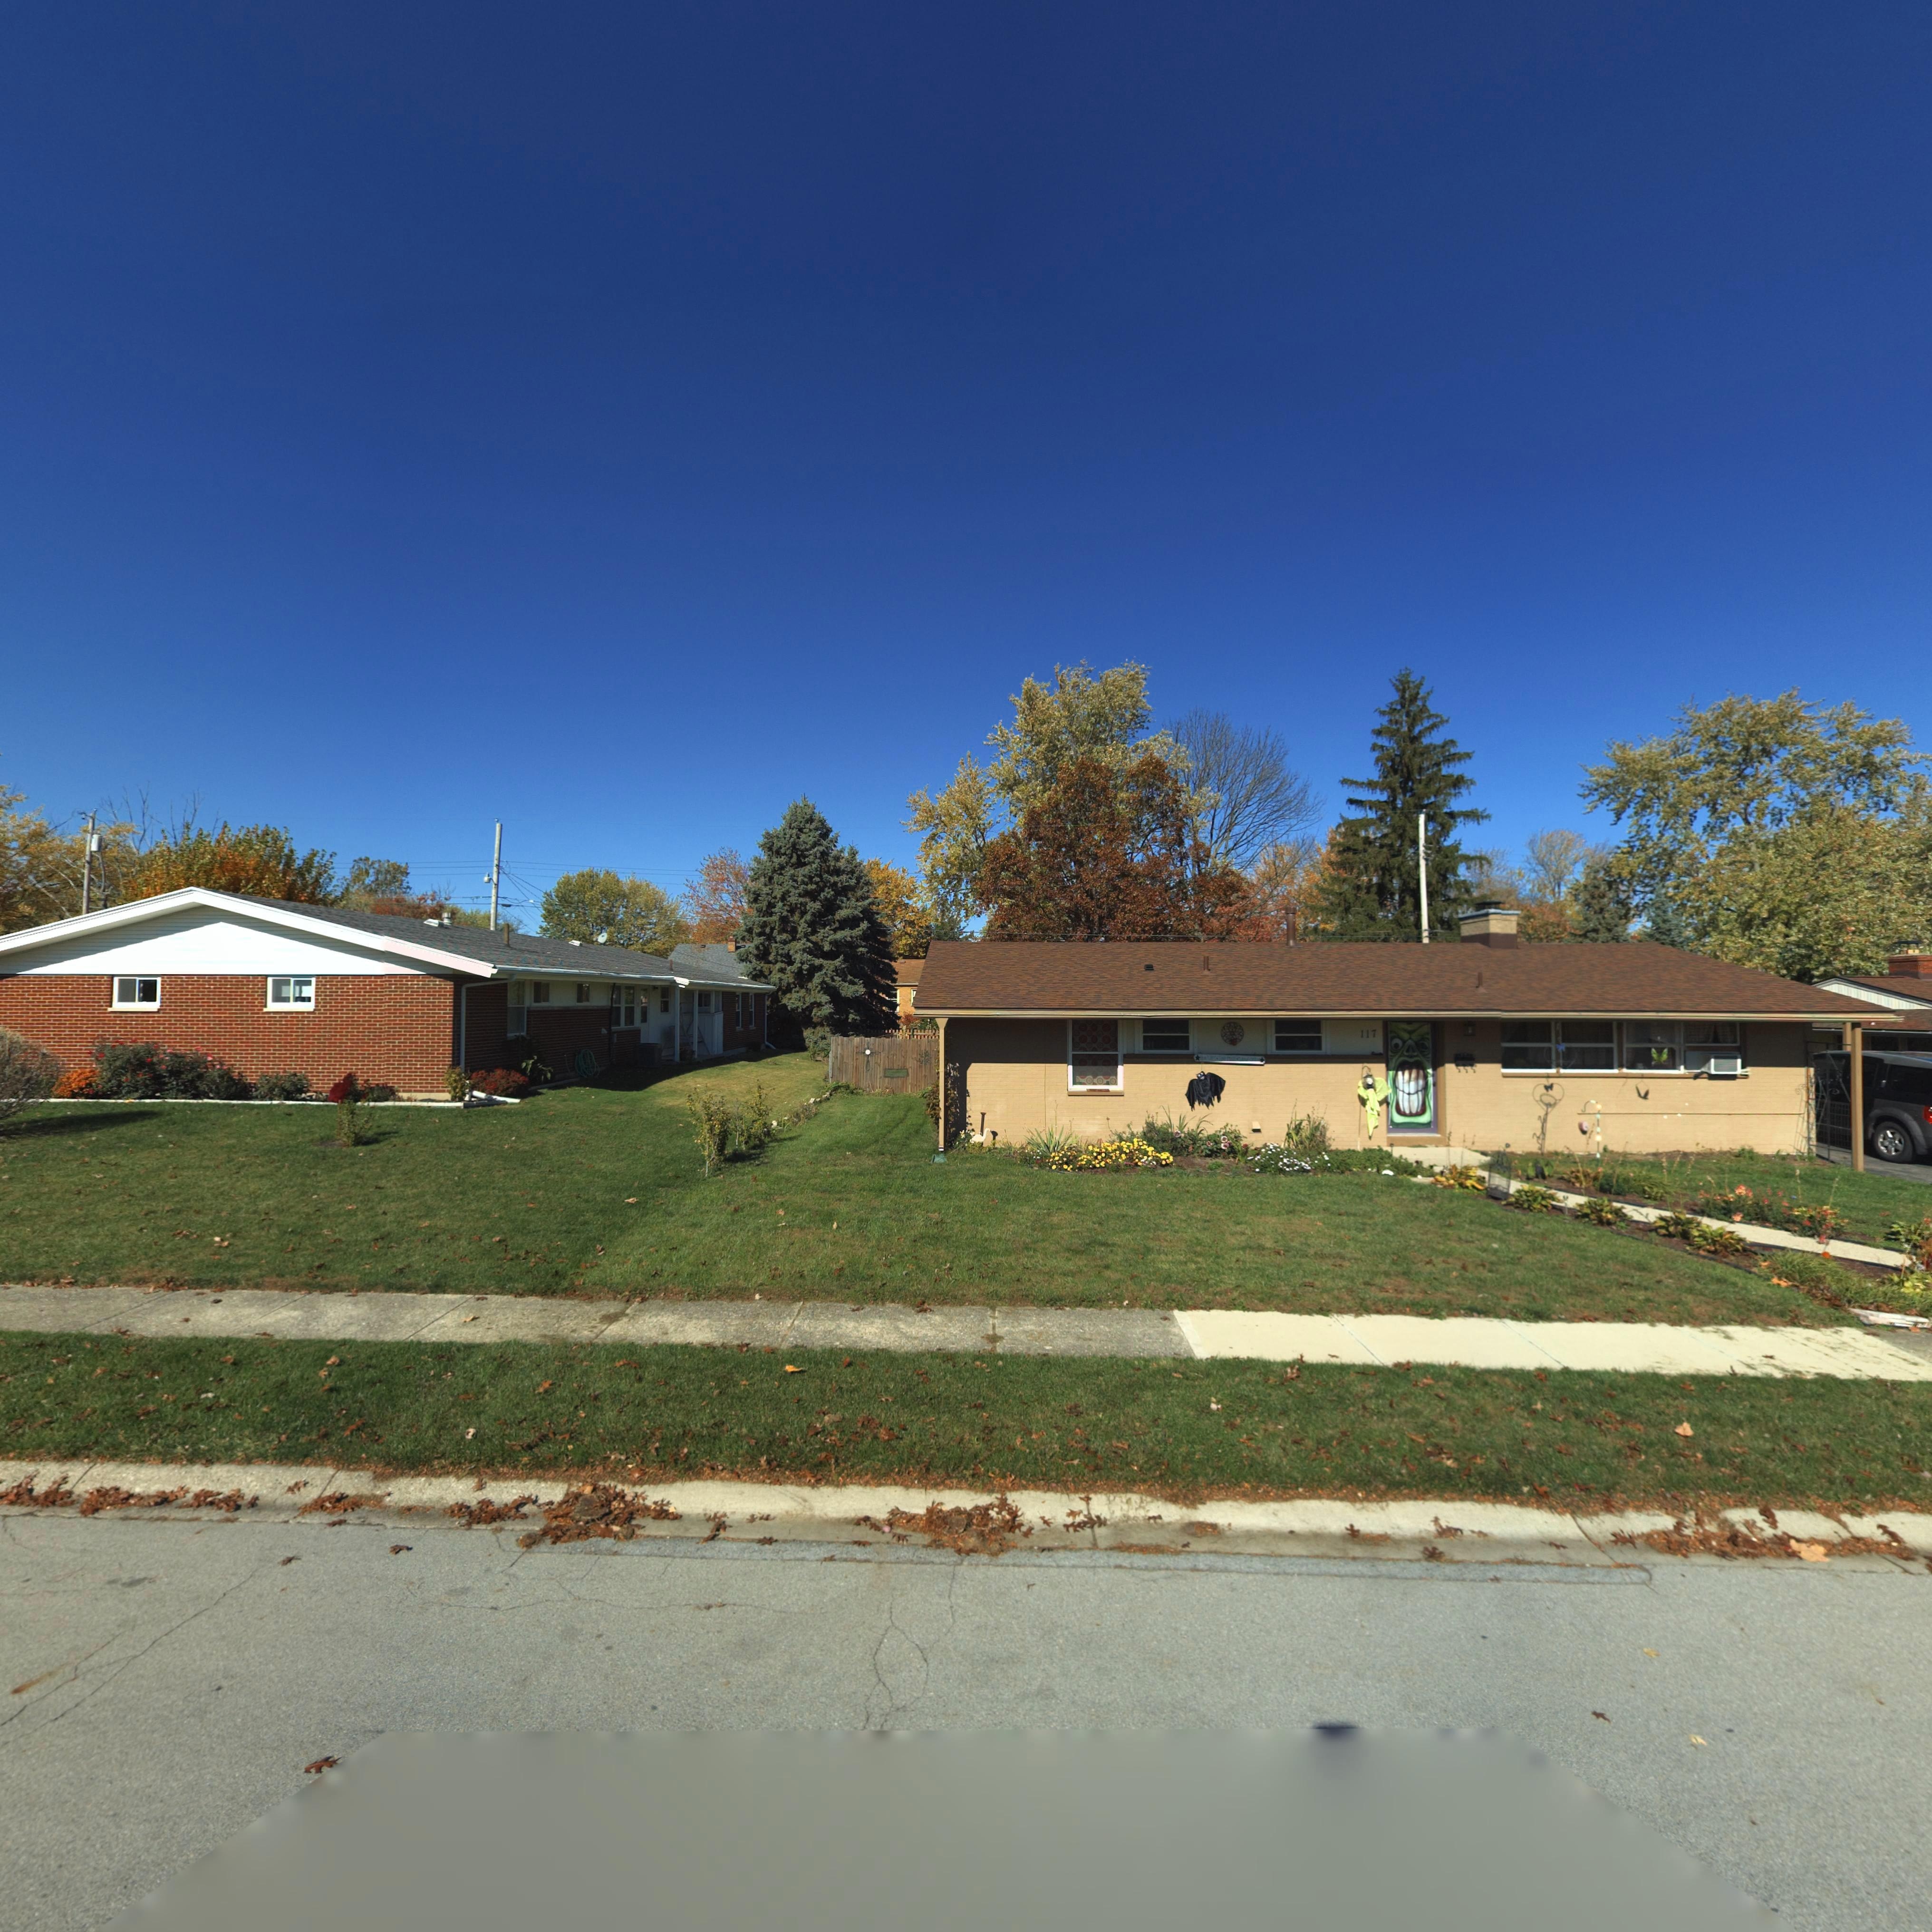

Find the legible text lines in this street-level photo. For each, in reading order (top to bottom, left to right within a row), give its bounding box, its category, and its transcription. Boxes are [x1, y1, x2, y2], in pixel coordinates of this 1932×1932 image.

[1360, 1028, 1378, 1039] StreetNumber: 117